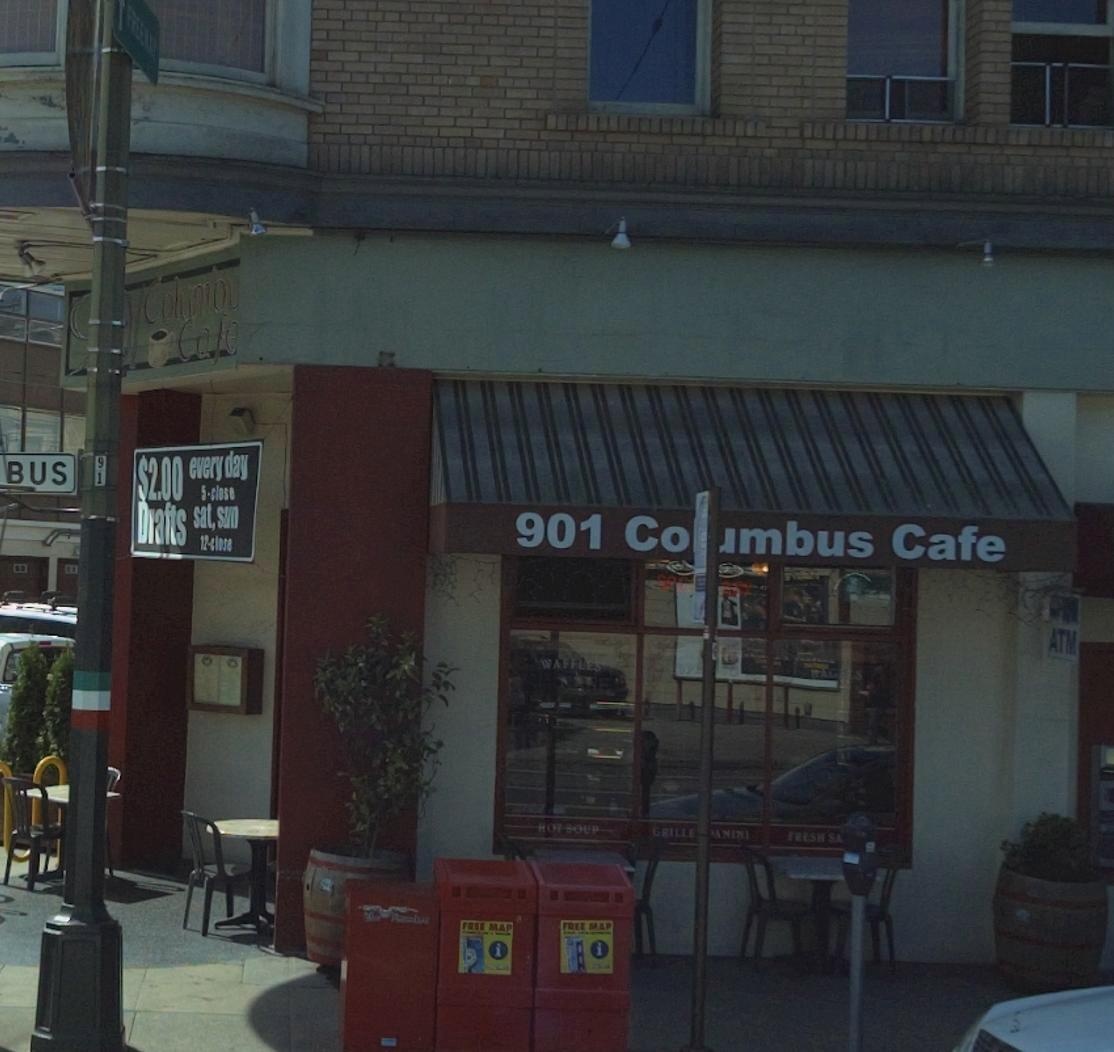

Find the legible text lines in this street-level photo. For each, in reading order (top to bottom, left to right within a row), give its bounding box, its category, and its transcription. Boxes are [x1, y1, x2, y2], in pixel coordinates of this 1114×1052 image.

[142, 261, 242, 329] BusinessName: Col*mb*
[174, 311, 241, 369] BusinessName: Cafe
[6, 459, 69, 487] StreetName: BUS
[95, 455, 105, 486] None: 91
[146, 453, 185, 503] None: 2.00
[199, 483, 237, 503] None: 5-close
[187, 448, 250, 483] None: every day
[136, 500, 189, 548] None: Drafts\
[191, 502, 241, 533] None: sat, s**
[198, 533, 234, 553] None: 12-close
[513, 510, 604, 552] StreetNumber: 901
[622, 513, 1014, 566] BusinessName: Co*mbus Cafe
[1045, 625, 1079, 658] None: ATM
[537, 656, 605, 674] None: WAFFLES
[807, 665, 865, 683] None: *AG**S
[536, 821, 601, 838] None: HOT SOUP
[651, 824, 752, 842] None: GRILLE**ANINI
[786, 828, 846, 845] None: FRESH SA
[461, 920, 515, 934] None: FREE MAP
[561, 921, 613, 933] None: FREEMAP